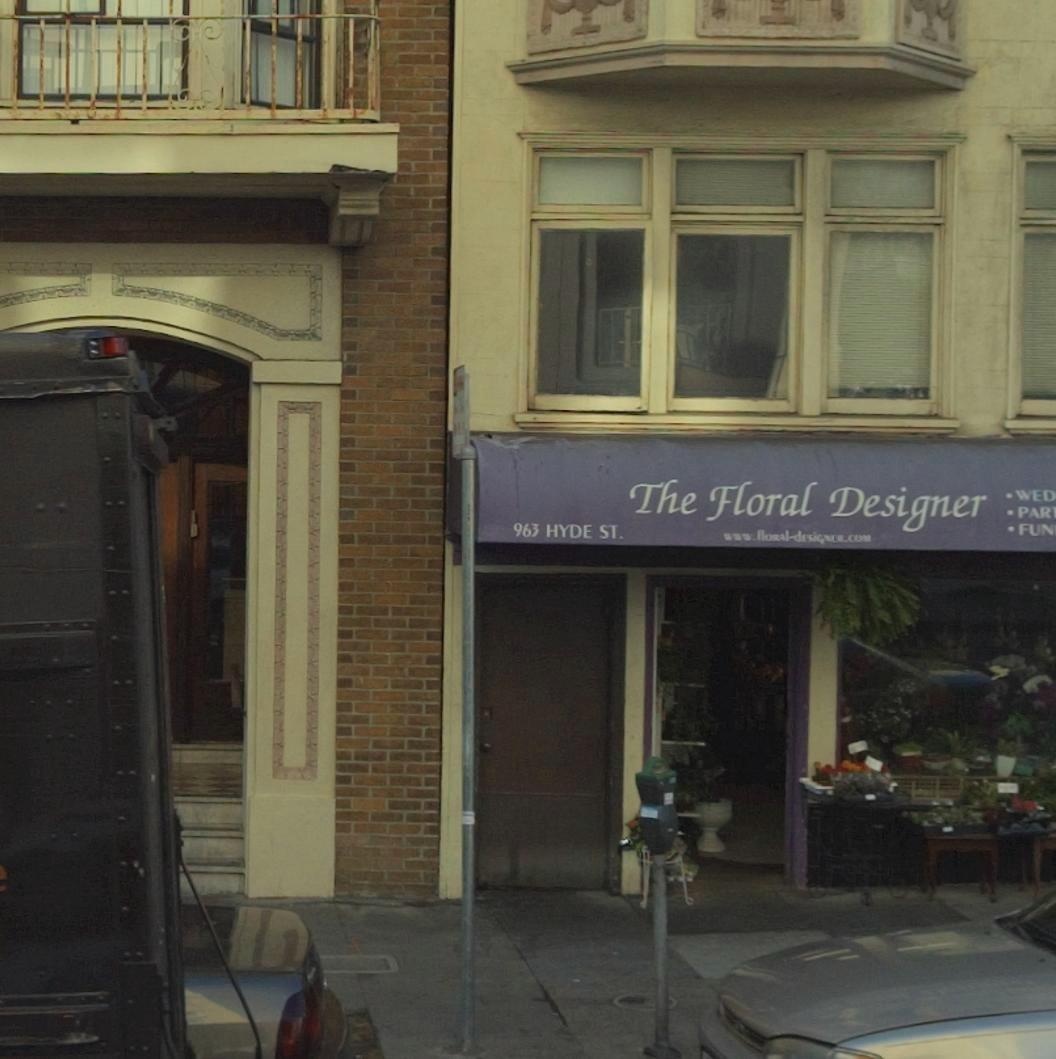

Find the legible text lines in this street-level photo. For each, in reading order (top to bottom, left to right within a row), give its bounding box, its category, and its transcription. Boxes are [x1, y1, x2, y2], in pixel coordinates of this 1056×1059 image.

[1012, 488, 1056, 503] None: WED
[628, 477, 990, 533] BusinessName: The Floral Designer
[1016, 505, 1056, 519] None: PAR*
[512, 521, 541, 538] StreetNumber: 963
[545, 523, 626, 541] StreetName: HYDE ST.
[721, 528, 873, 545] None: www.floral-designer.com
[1016, 521, 1055, 538] None: FUN